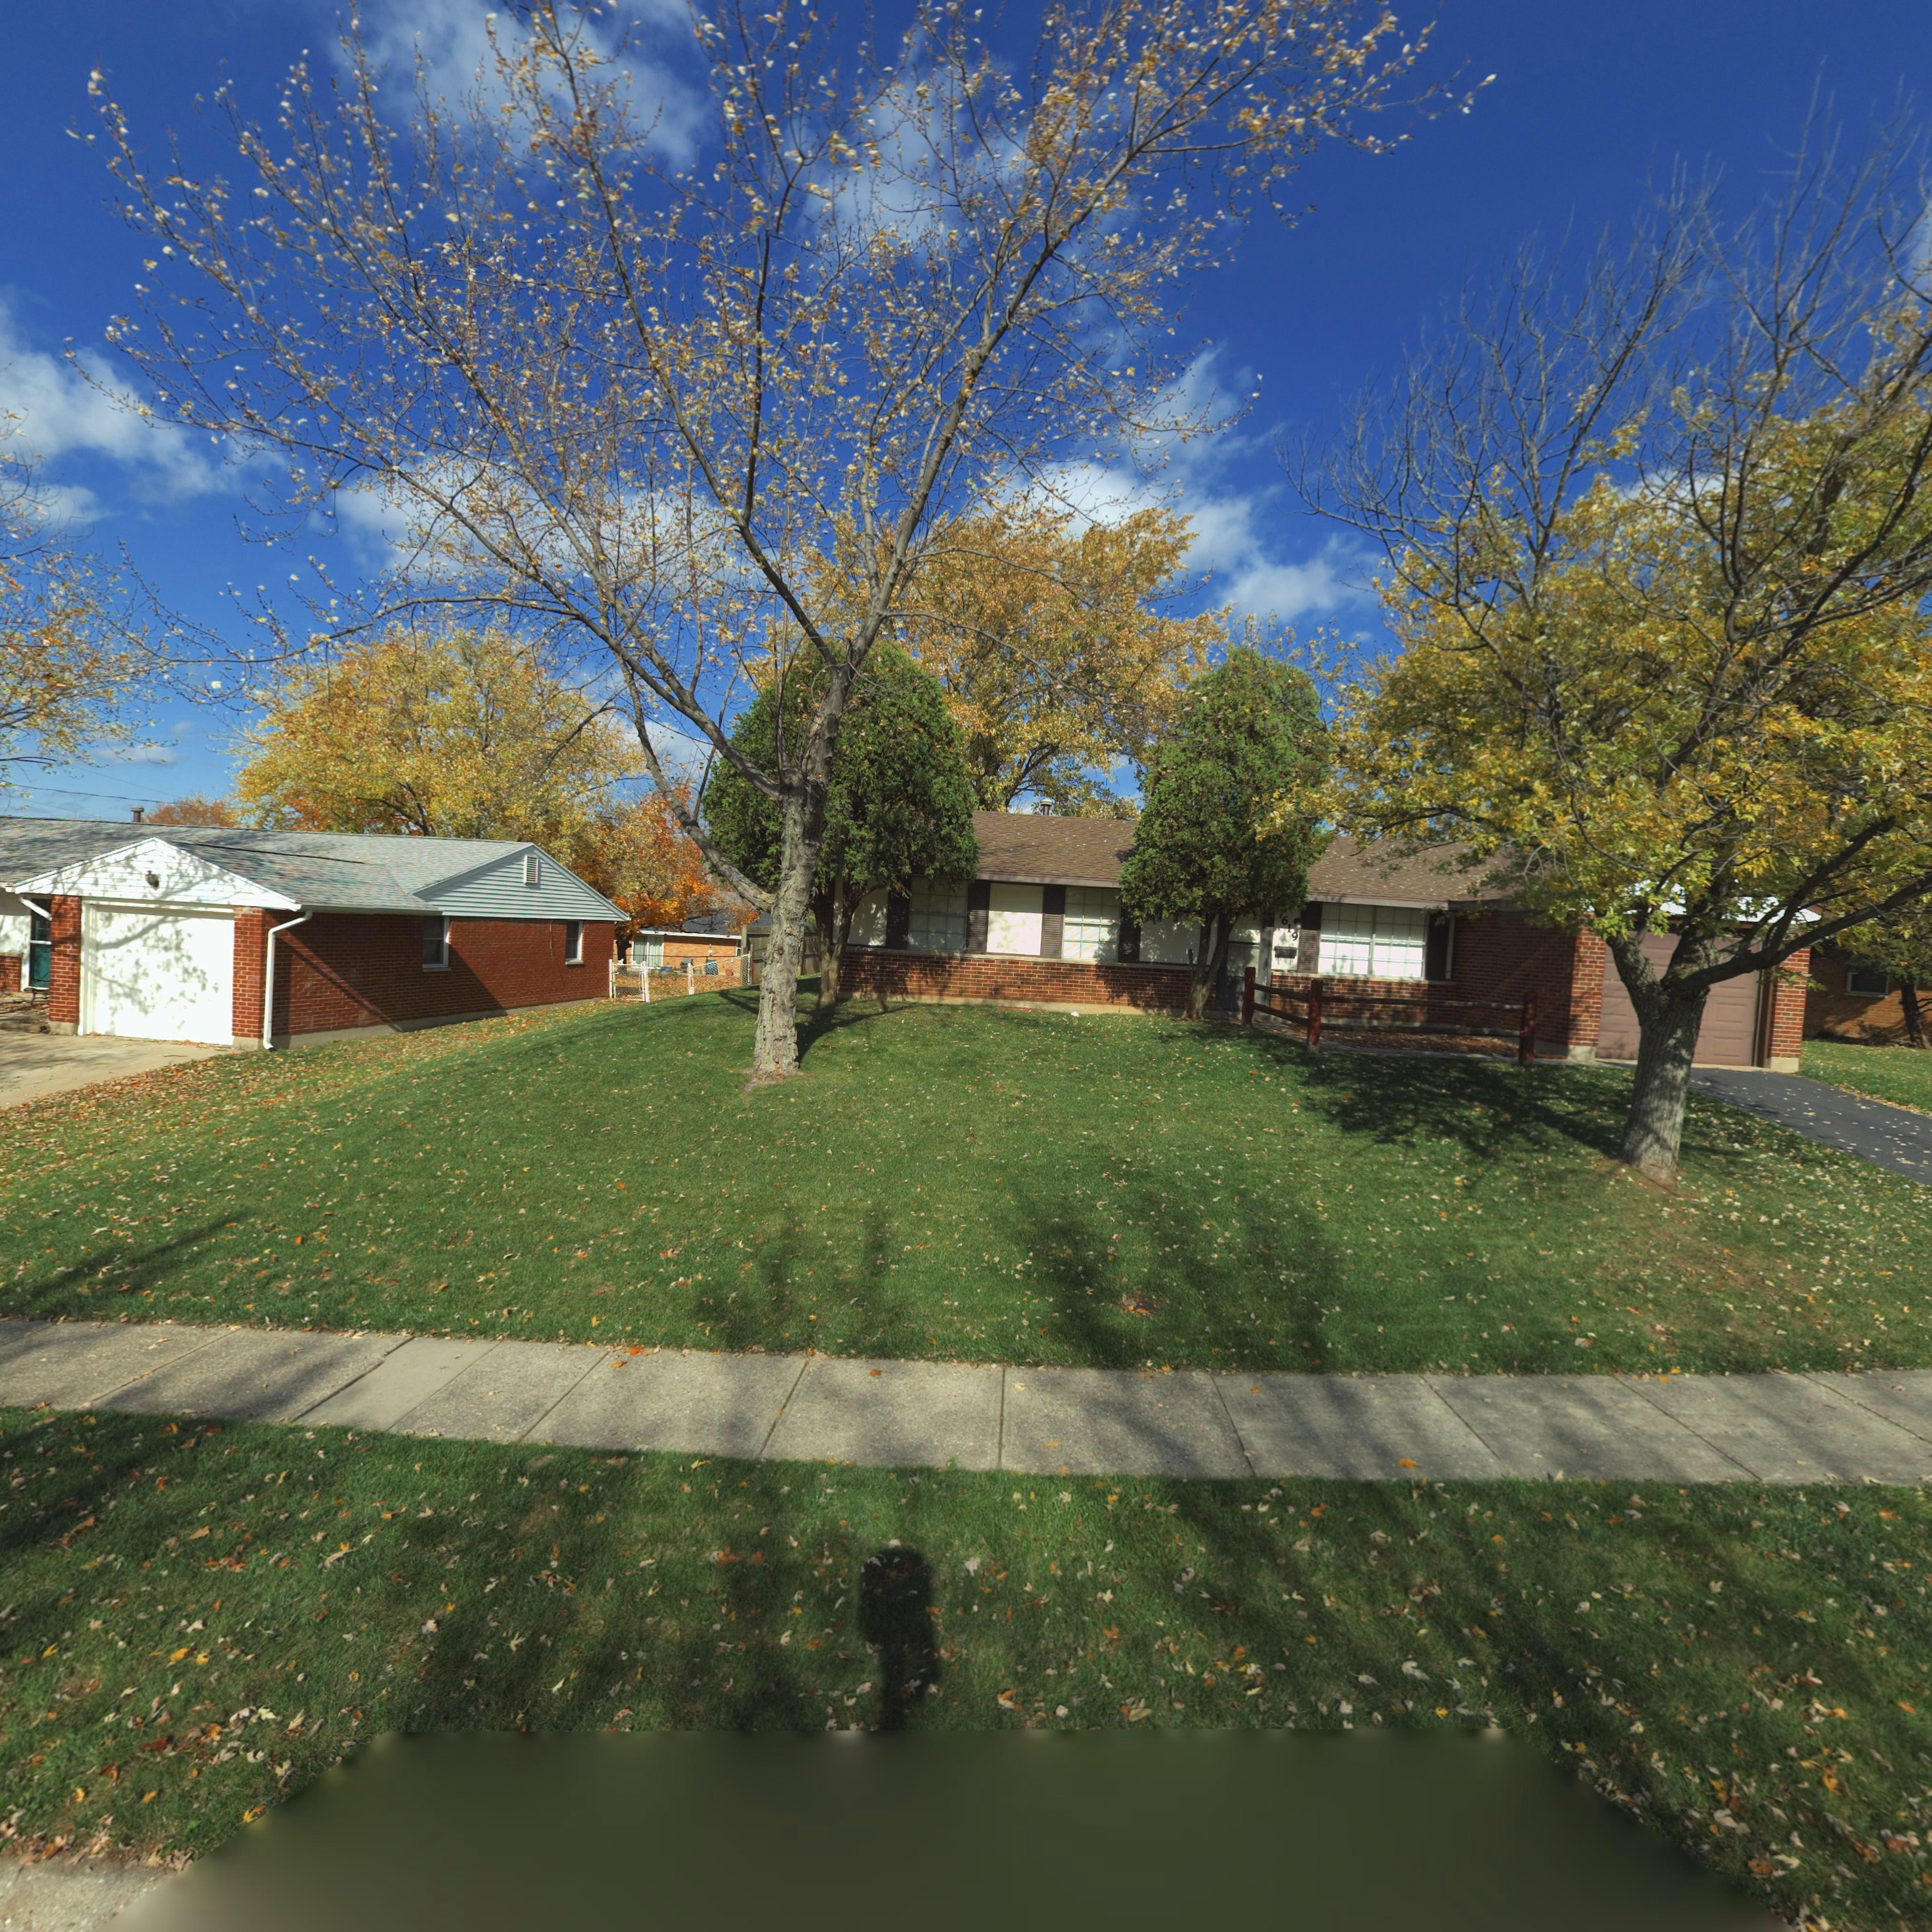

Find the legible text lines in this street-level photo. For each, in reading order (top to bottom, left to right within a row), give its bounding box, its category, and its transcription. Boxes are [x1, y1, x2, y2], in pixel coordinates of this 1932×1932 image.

[1281, 915, 1298, 942] StreetNumber: 619